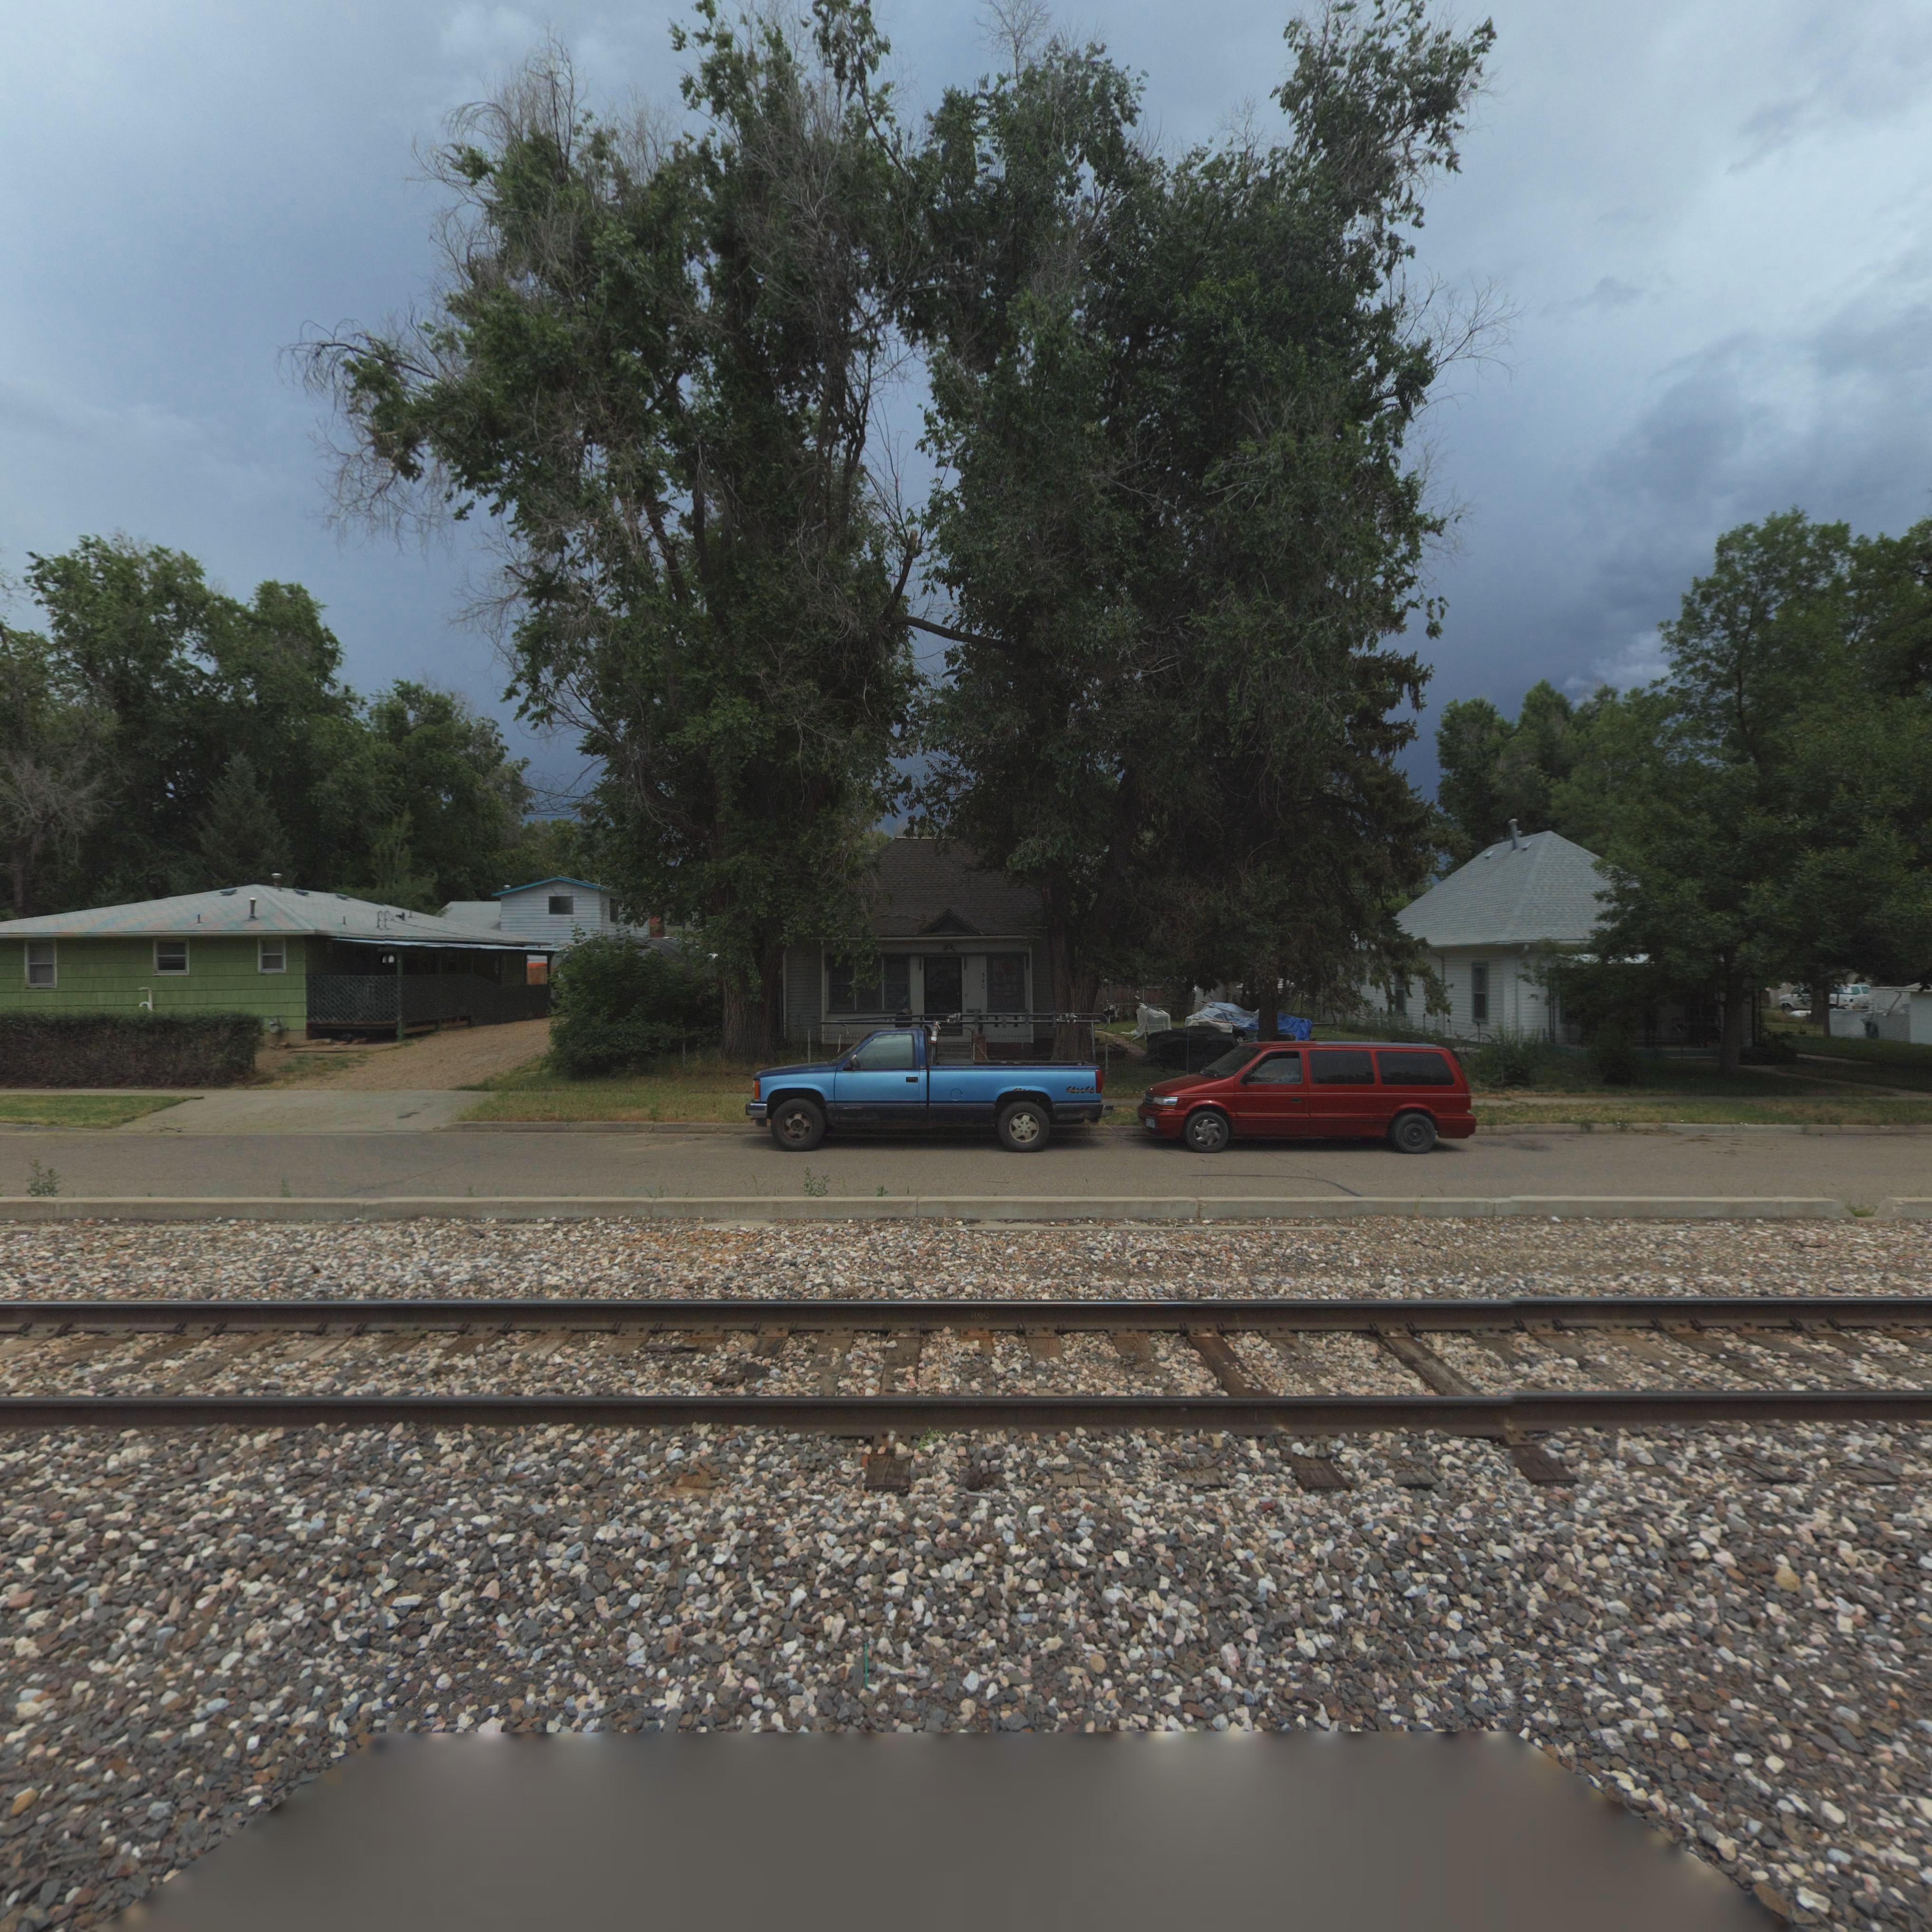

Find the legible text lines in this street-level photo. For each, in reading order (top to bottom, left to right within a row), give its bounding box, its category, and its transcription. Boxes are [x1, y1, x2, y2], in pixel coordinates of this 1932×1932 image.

[981, 972, 985, 989] StreetNumber: 340